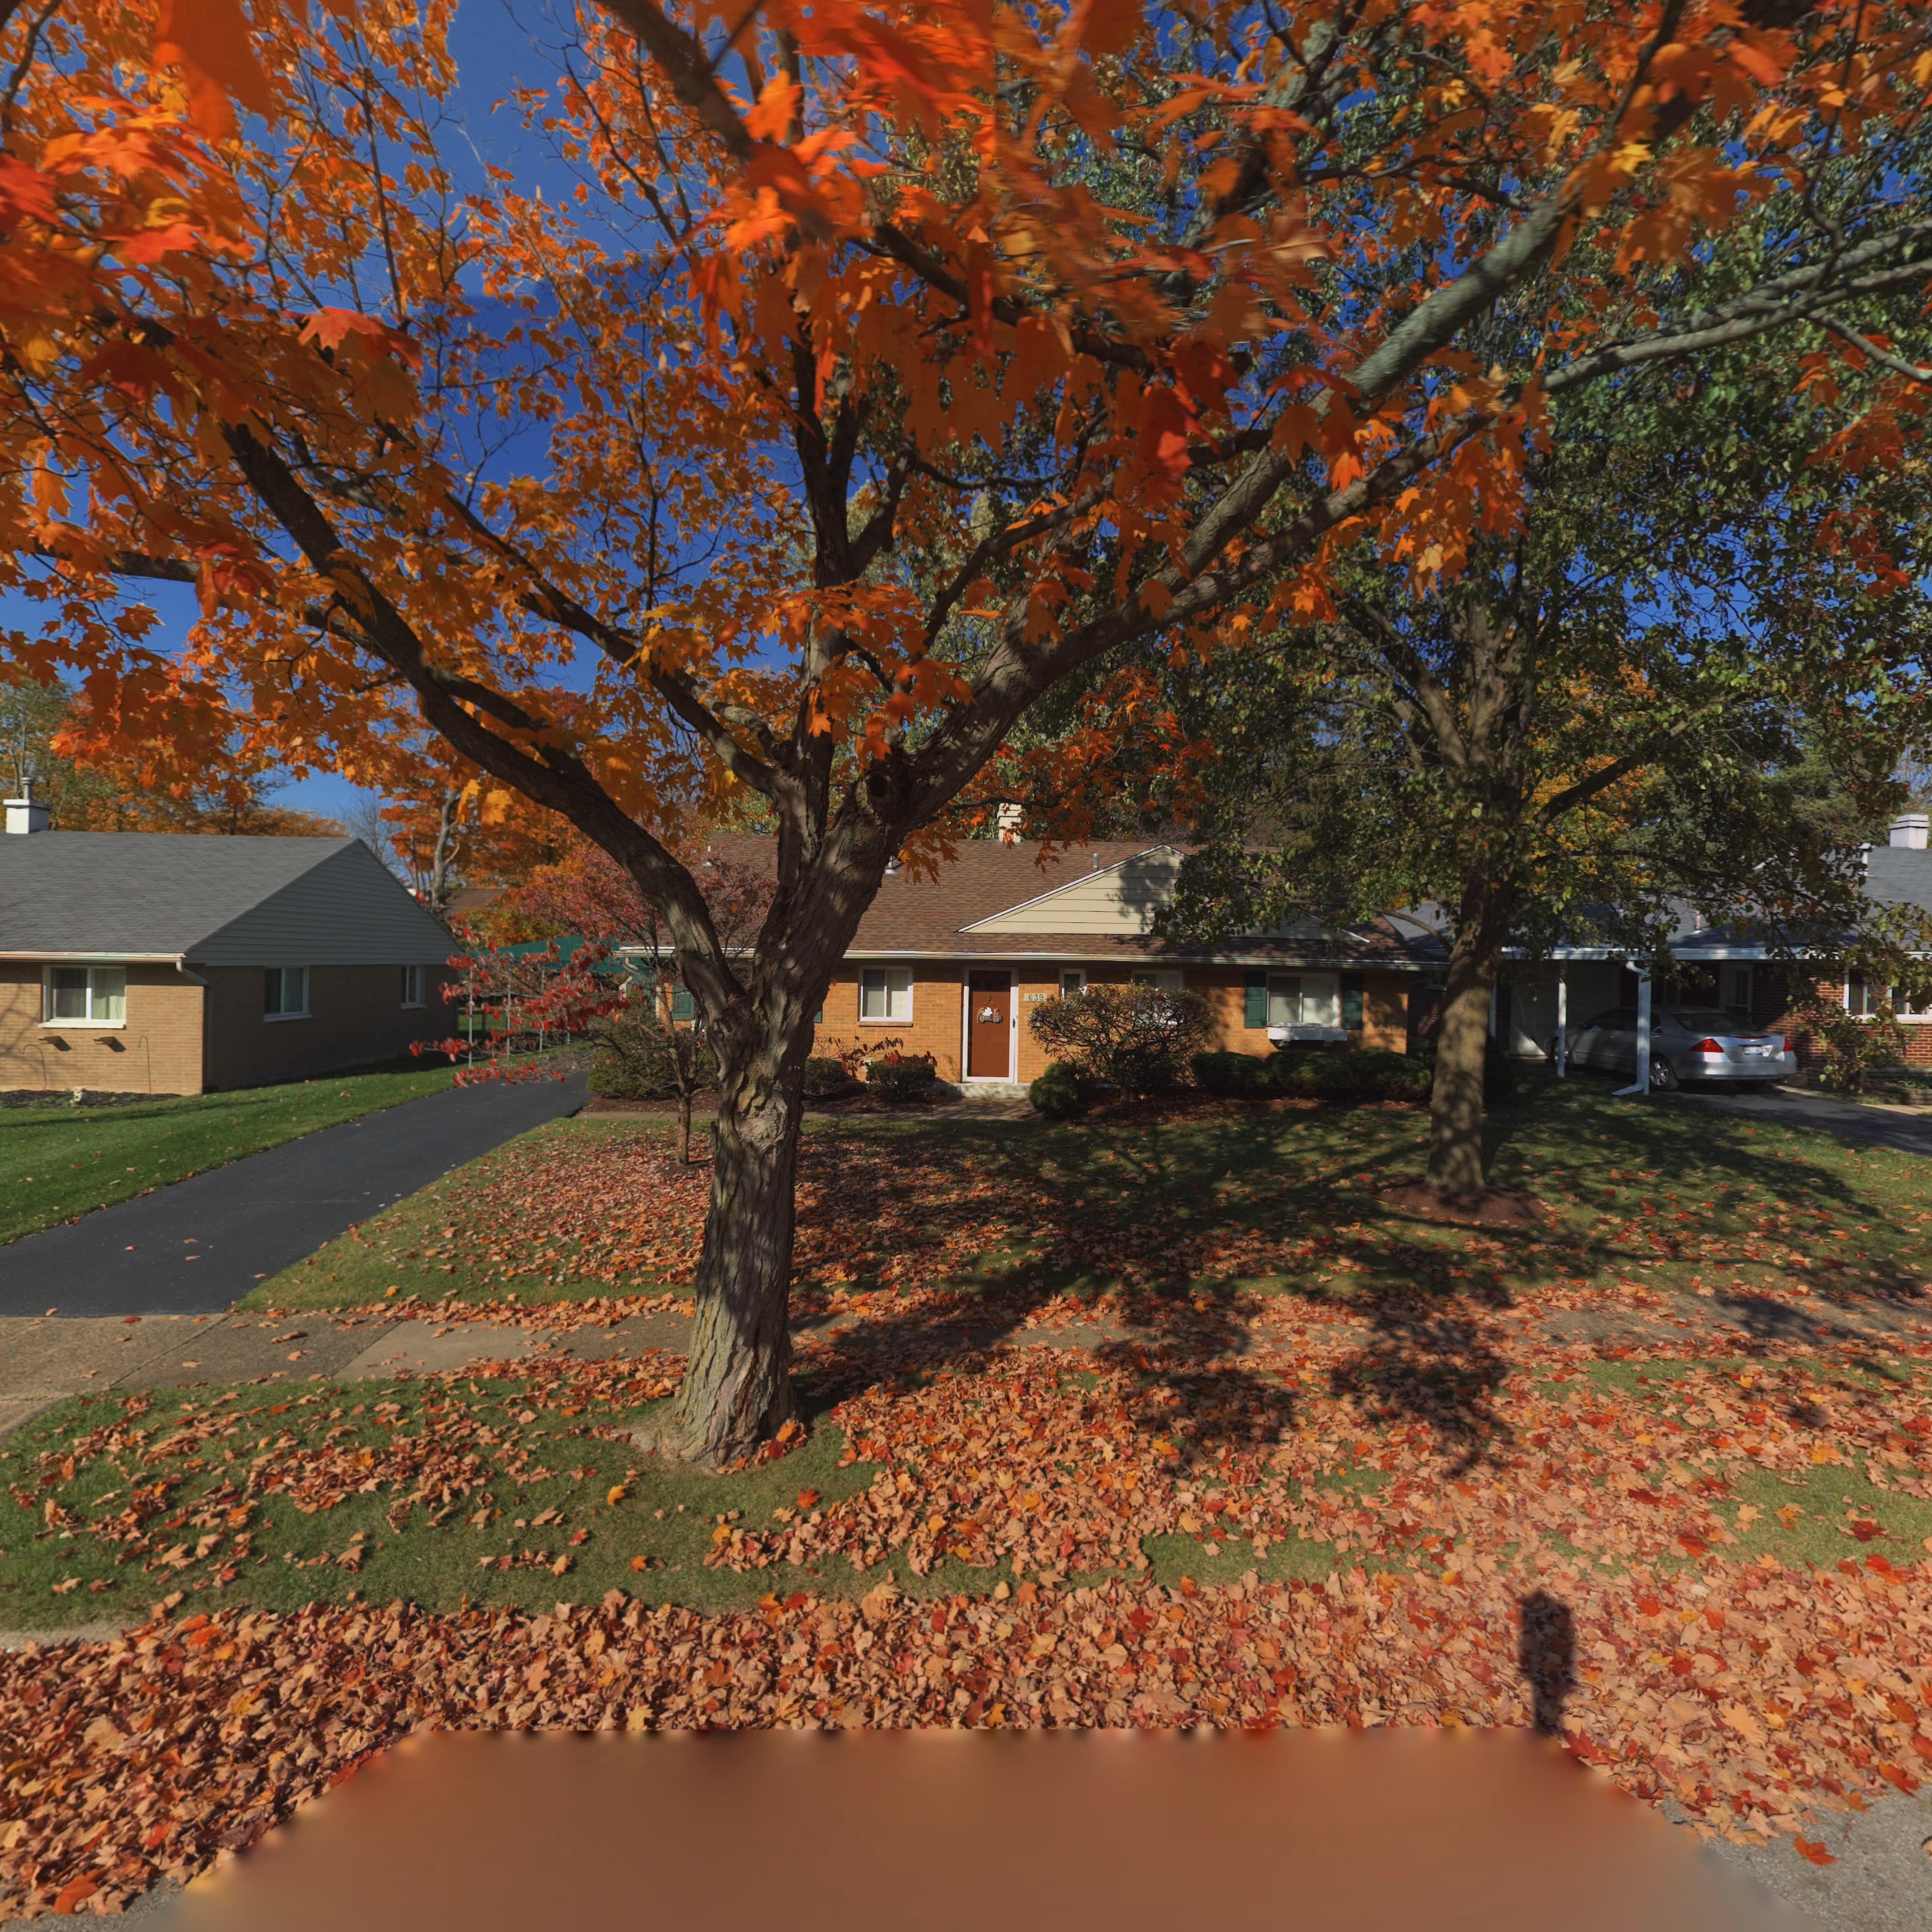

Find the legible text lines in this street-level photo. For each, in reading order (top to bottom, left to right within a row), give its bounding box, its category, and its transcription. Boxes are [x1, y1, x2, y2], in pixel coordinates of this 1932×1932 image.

[1027, 992, 1045, 1003] StreetNumber: 639